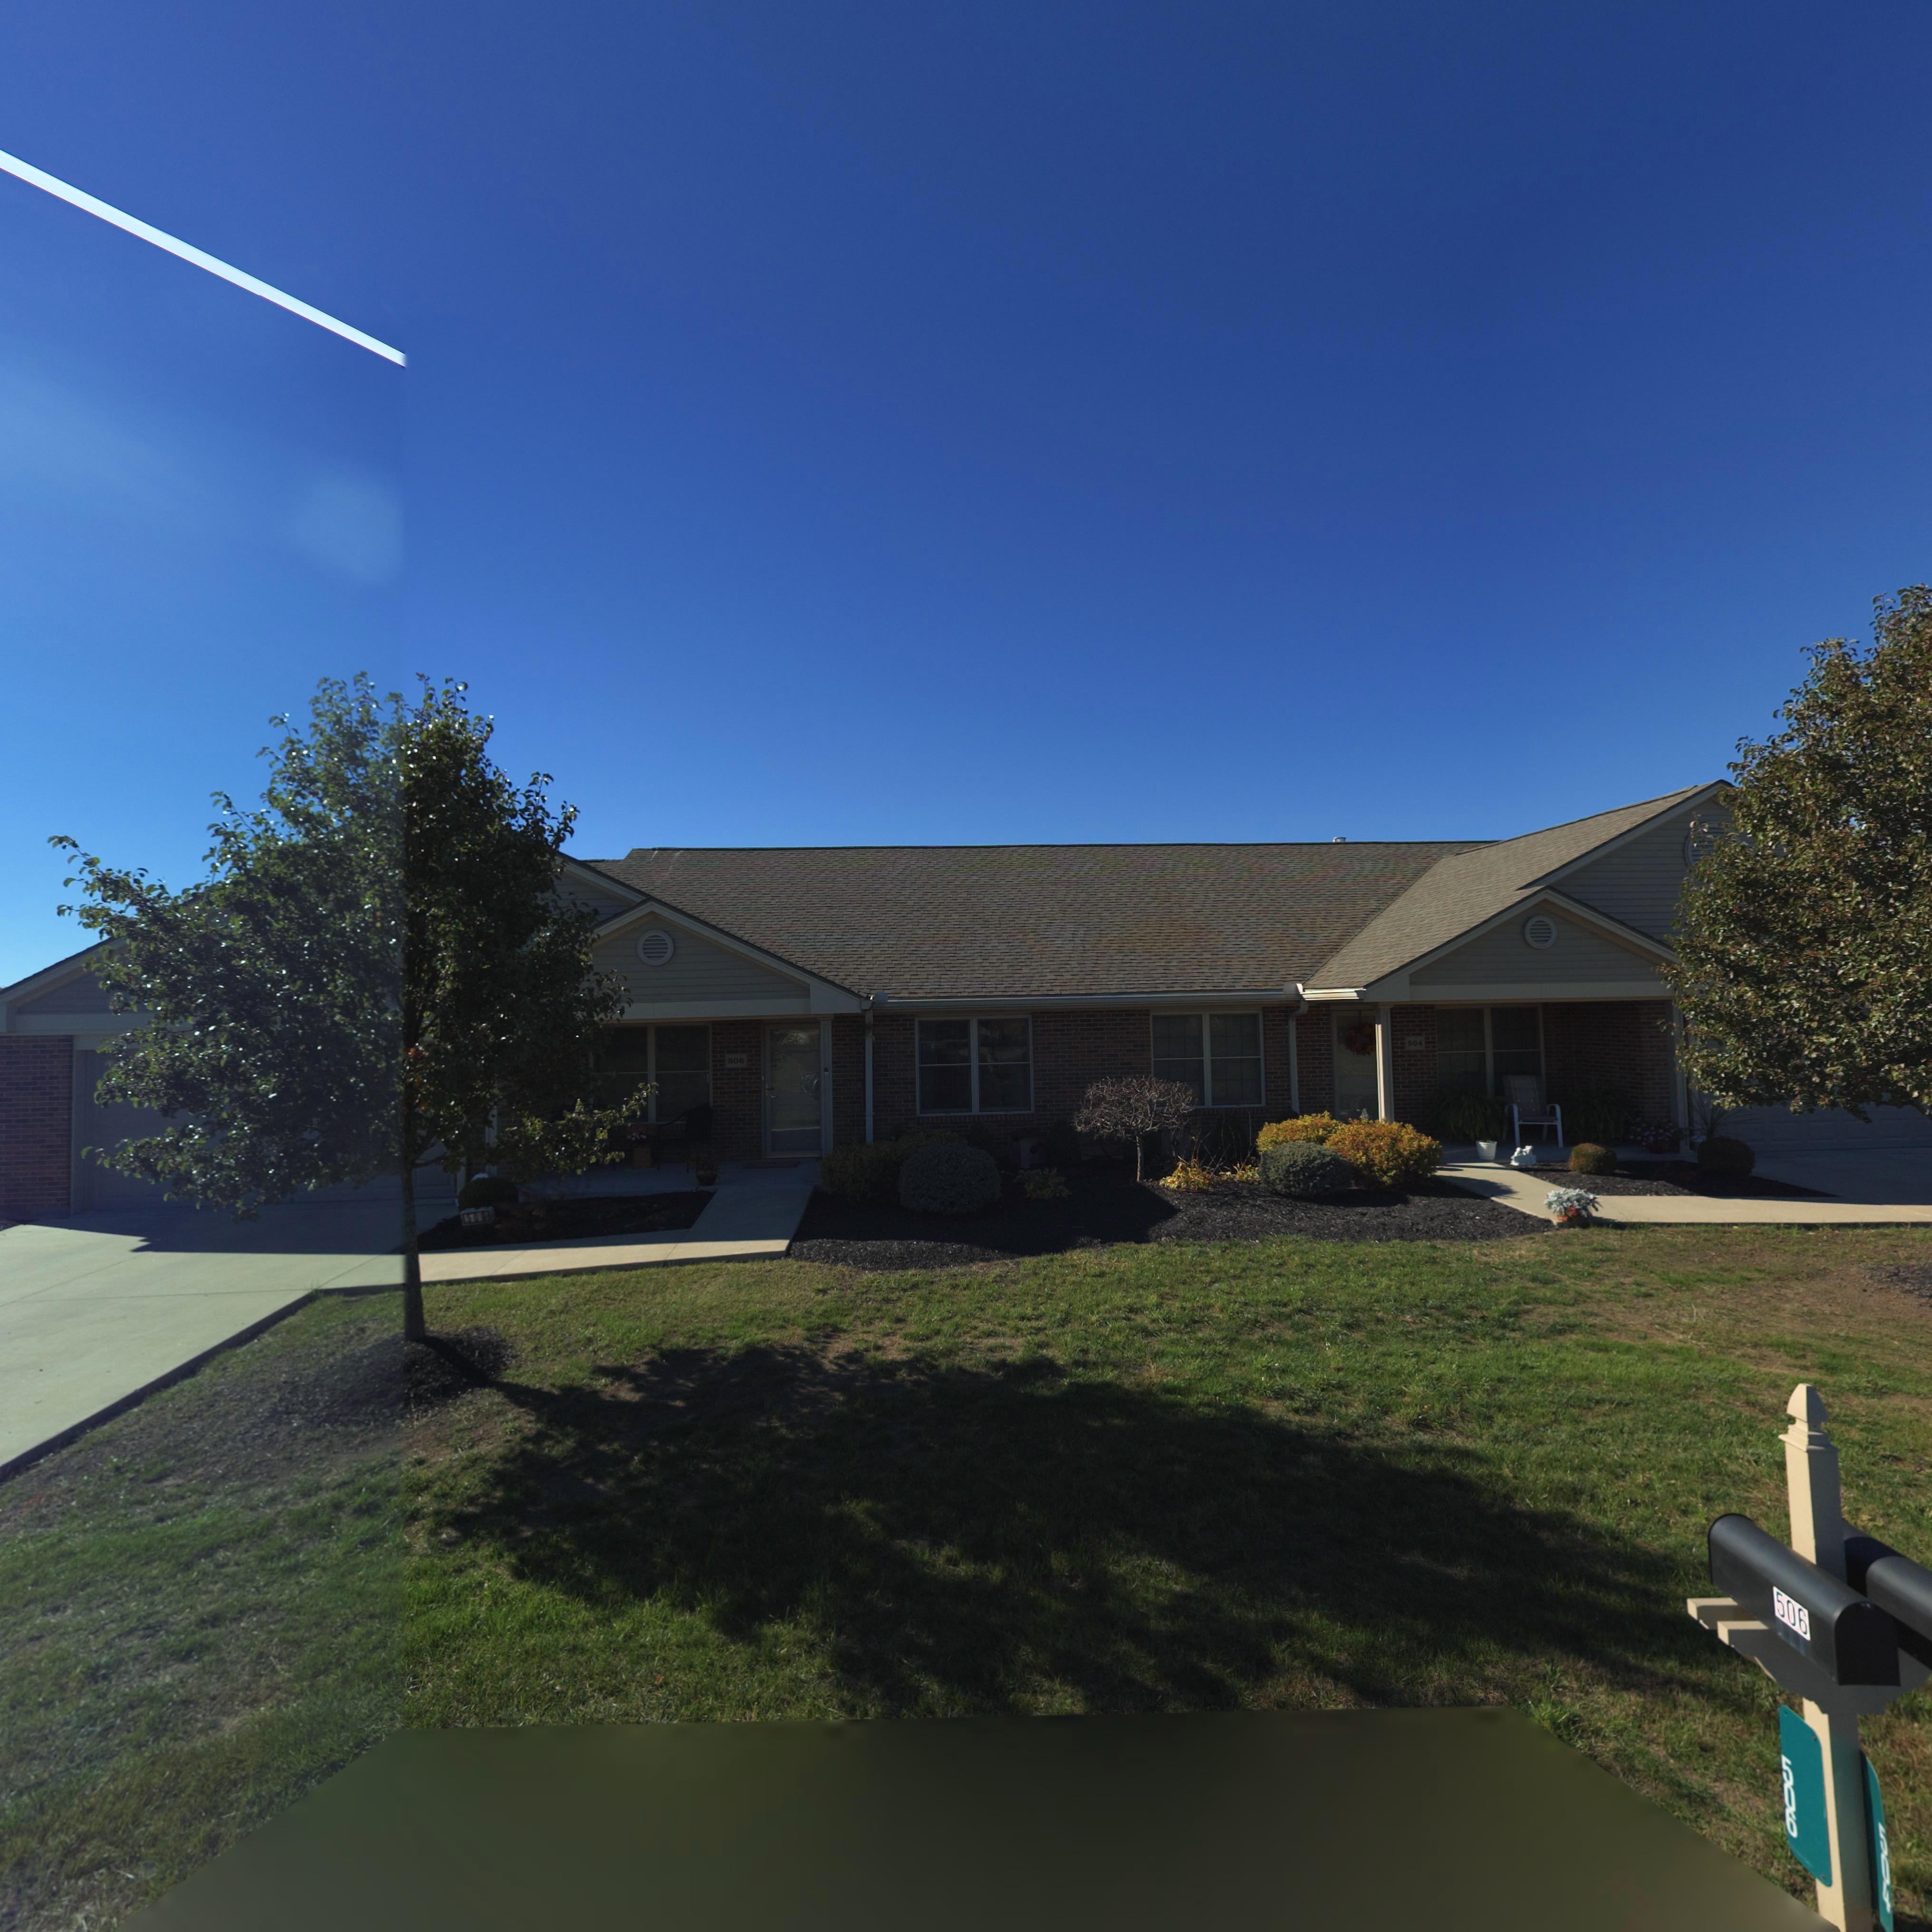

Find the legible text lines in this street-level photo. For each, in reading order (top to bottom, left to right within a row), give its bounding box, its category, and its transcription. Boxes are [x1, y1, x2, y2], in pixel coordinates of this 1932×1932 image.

[727, 1057, 744, 1064] StreetNumber: 506
[1407, 1040, 1423, 1046] StreetNumber: 504
[466, 1212, 487, 1224] StreetNumber: 506
[1776, 1589, 1808, 1636] StreetNumber: 506
[1780, 1752, 1799, 1839] StreetNumber: 506
[1877, 1820, 1892, 1916] StreetNumber: 504